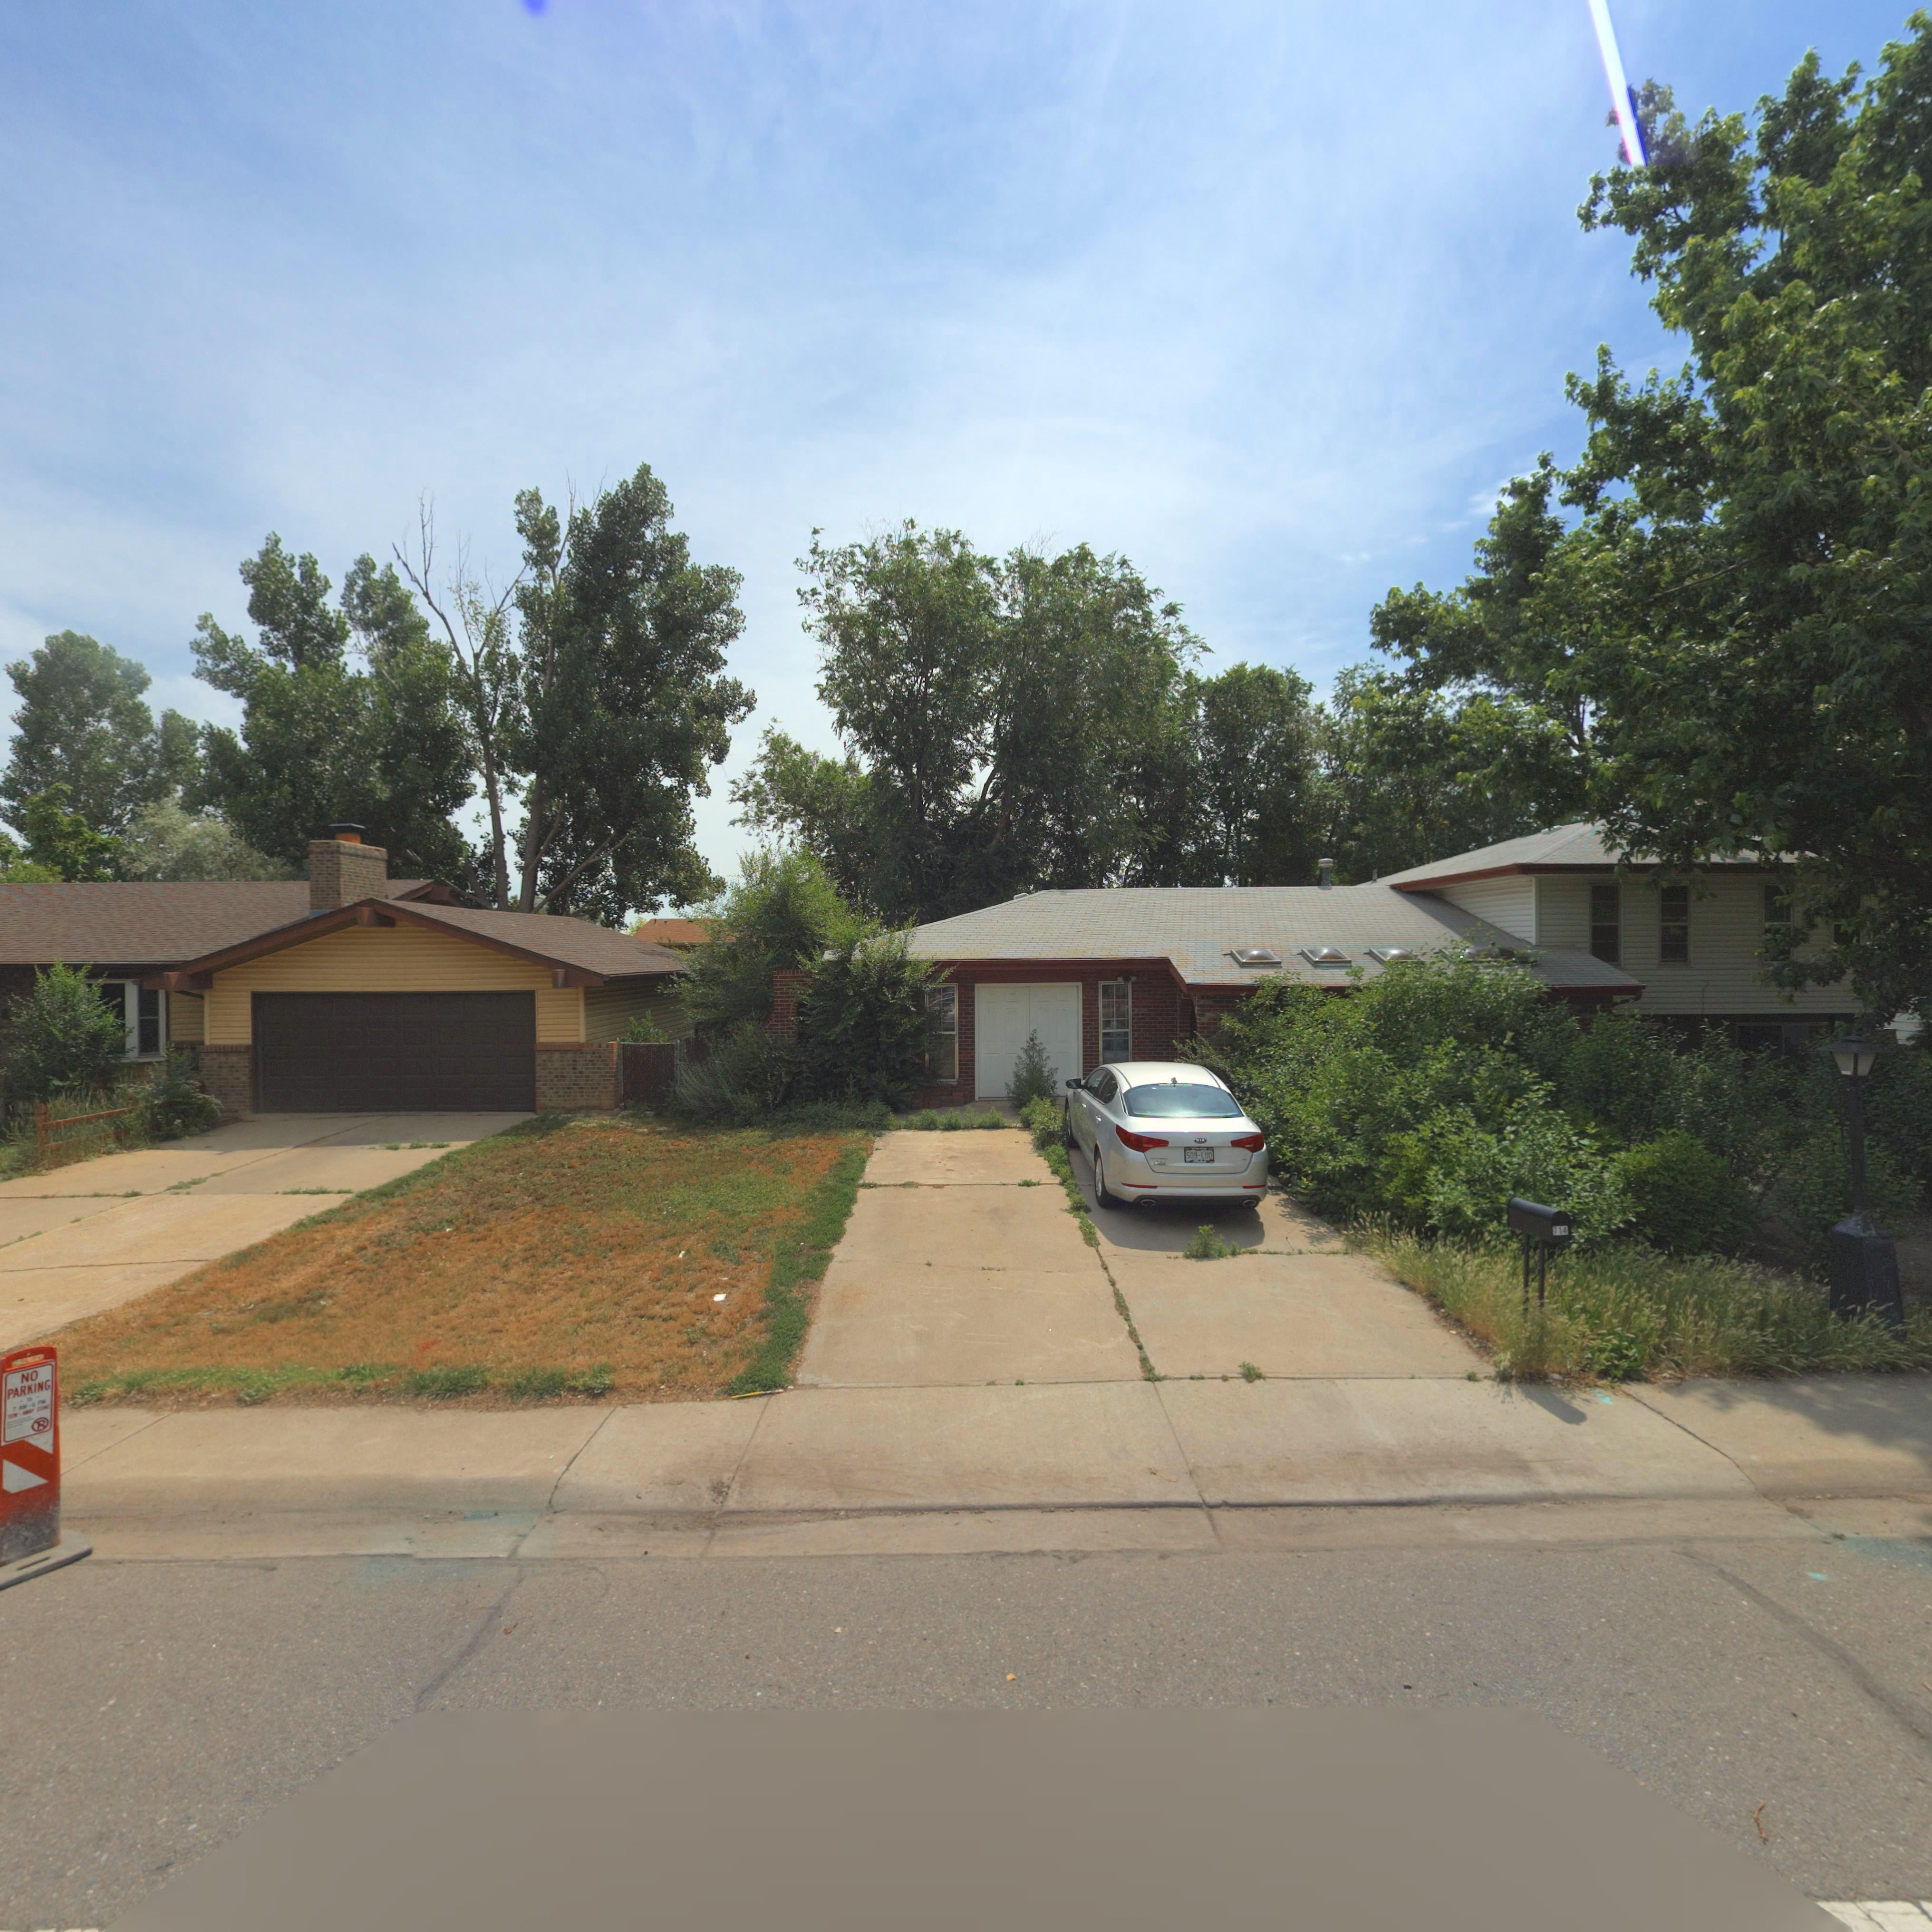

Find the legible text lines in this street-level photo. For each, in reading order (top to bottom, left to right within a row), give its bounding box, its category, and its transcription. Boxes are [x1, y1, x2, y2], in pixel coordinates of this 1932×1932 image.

[1553, 1226, 1566, 1235] StreetNumber: 714